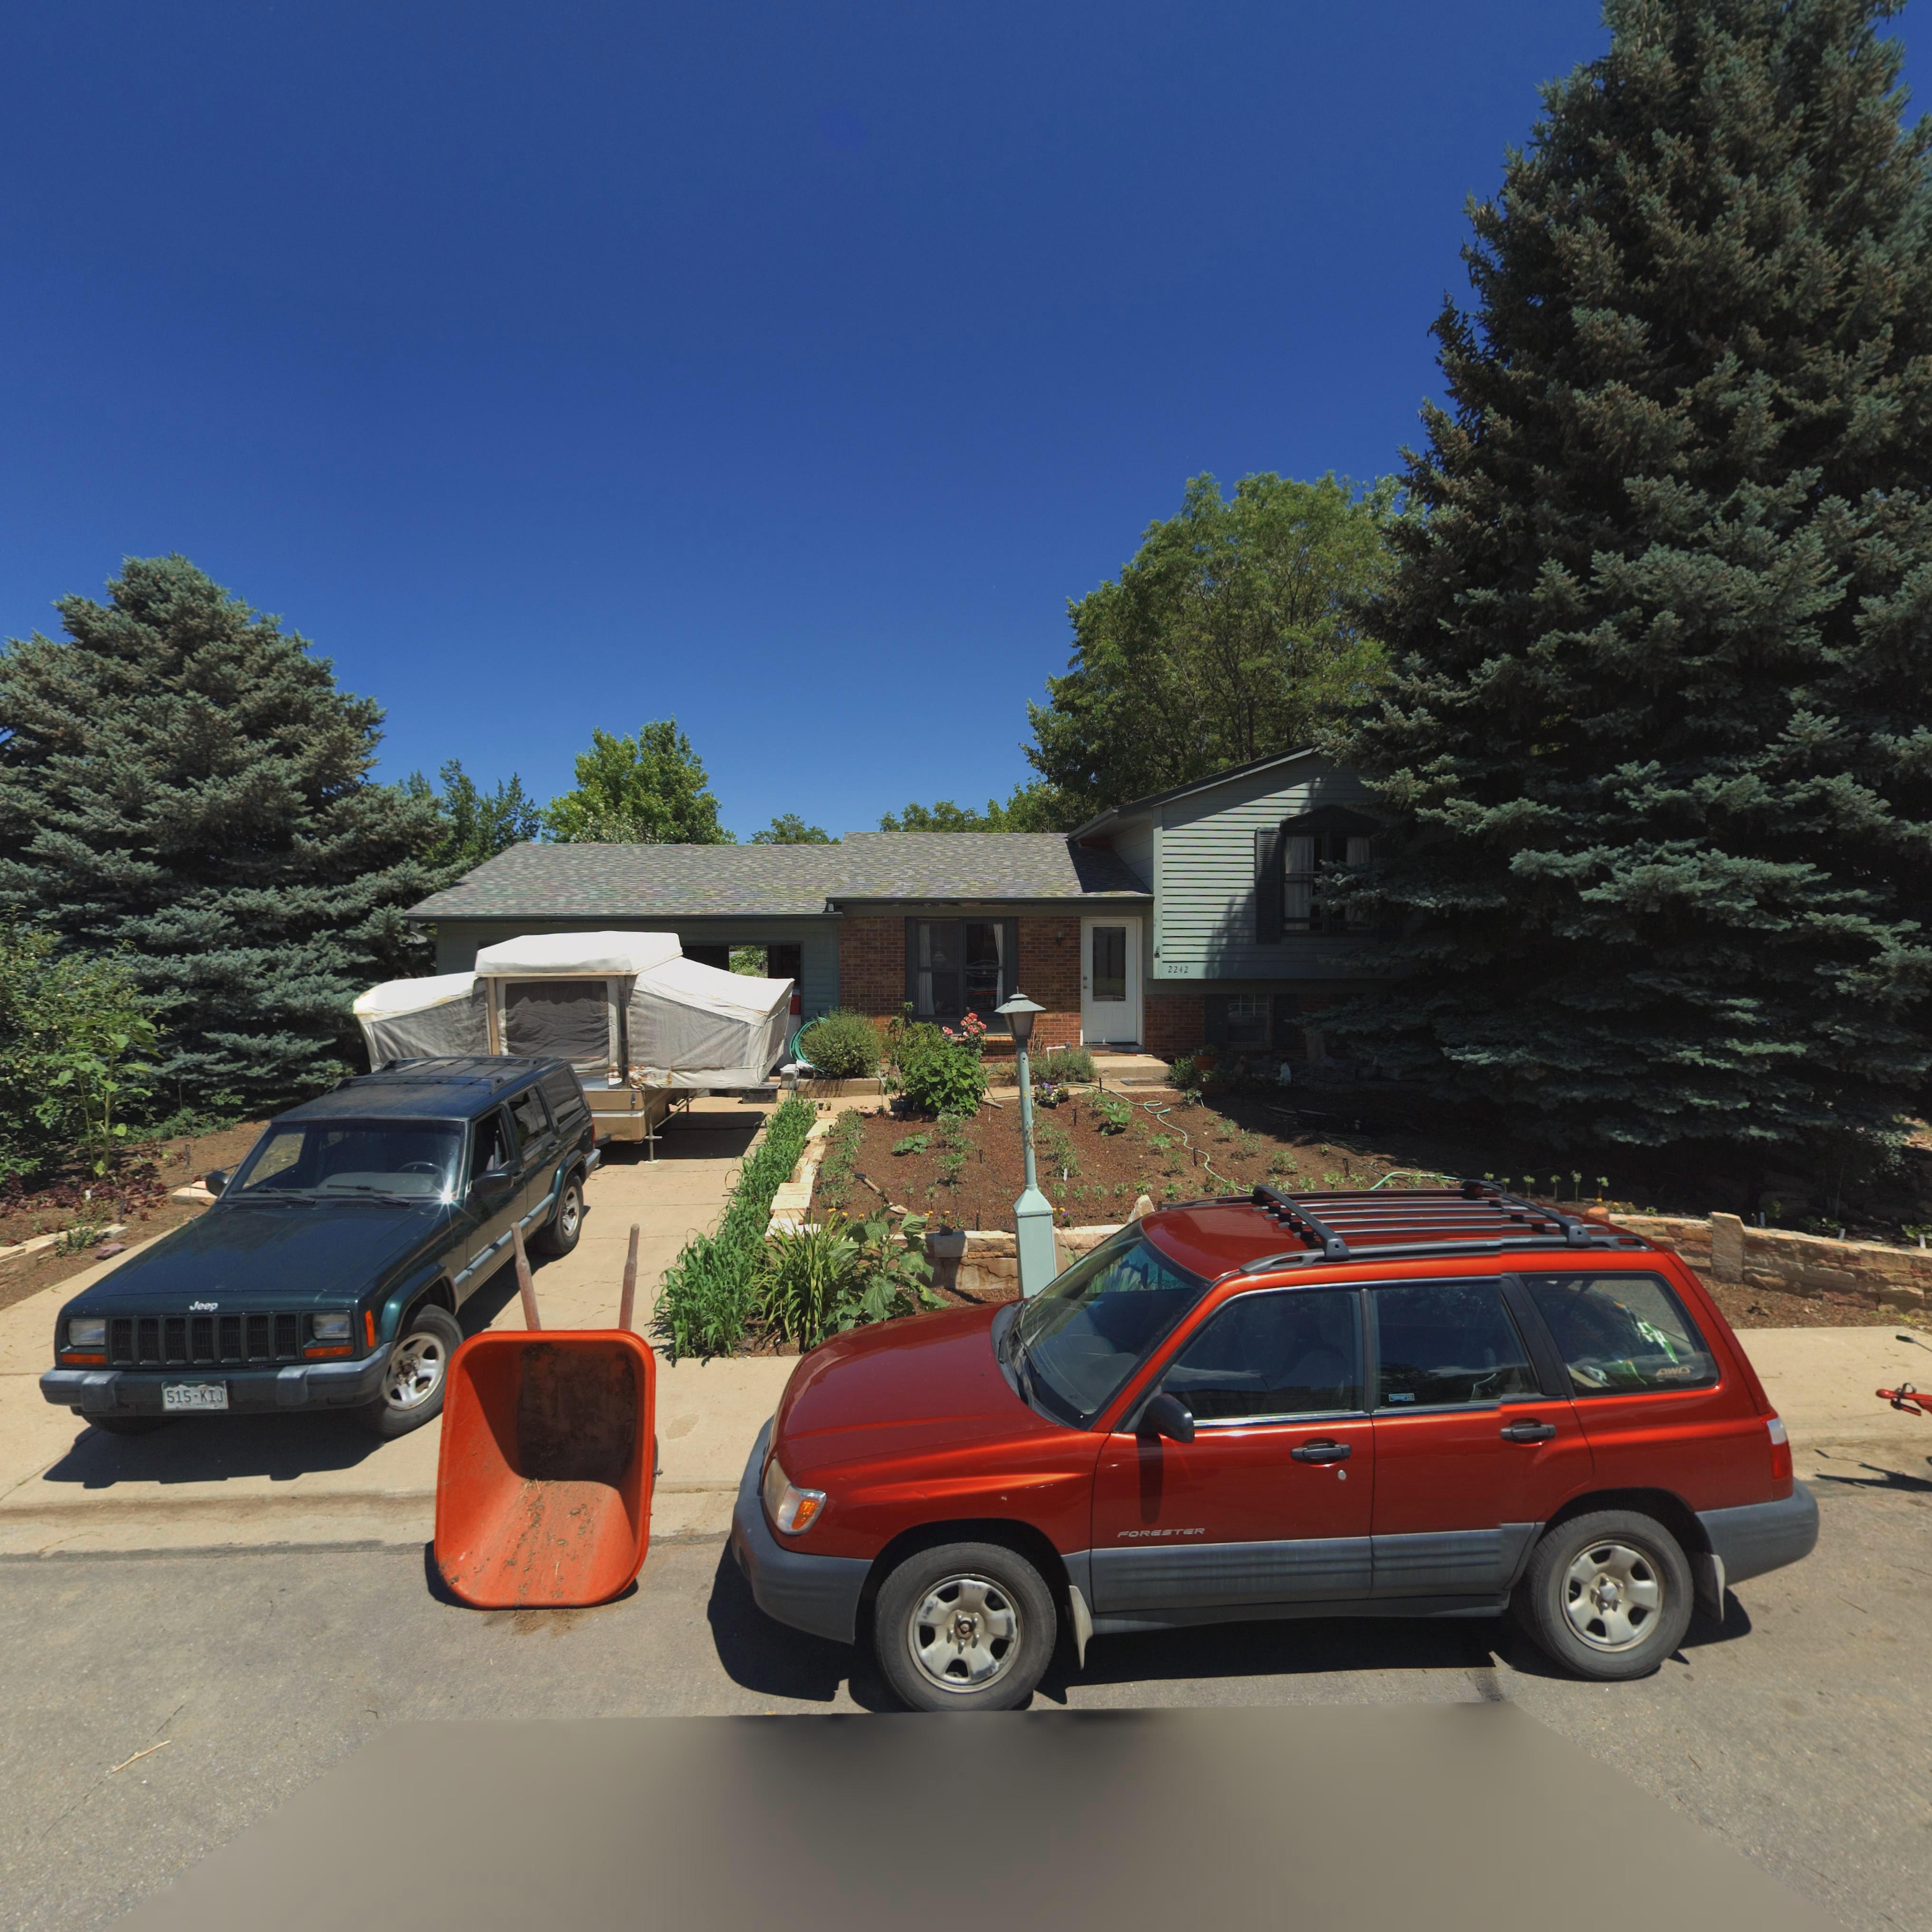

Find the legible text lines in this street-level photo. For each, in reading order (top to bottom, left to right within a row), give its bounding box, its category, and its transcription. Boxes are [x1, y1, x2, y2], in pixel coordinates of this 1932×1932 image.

[1168, 965, 1188, 973] StreetNumber: 2242